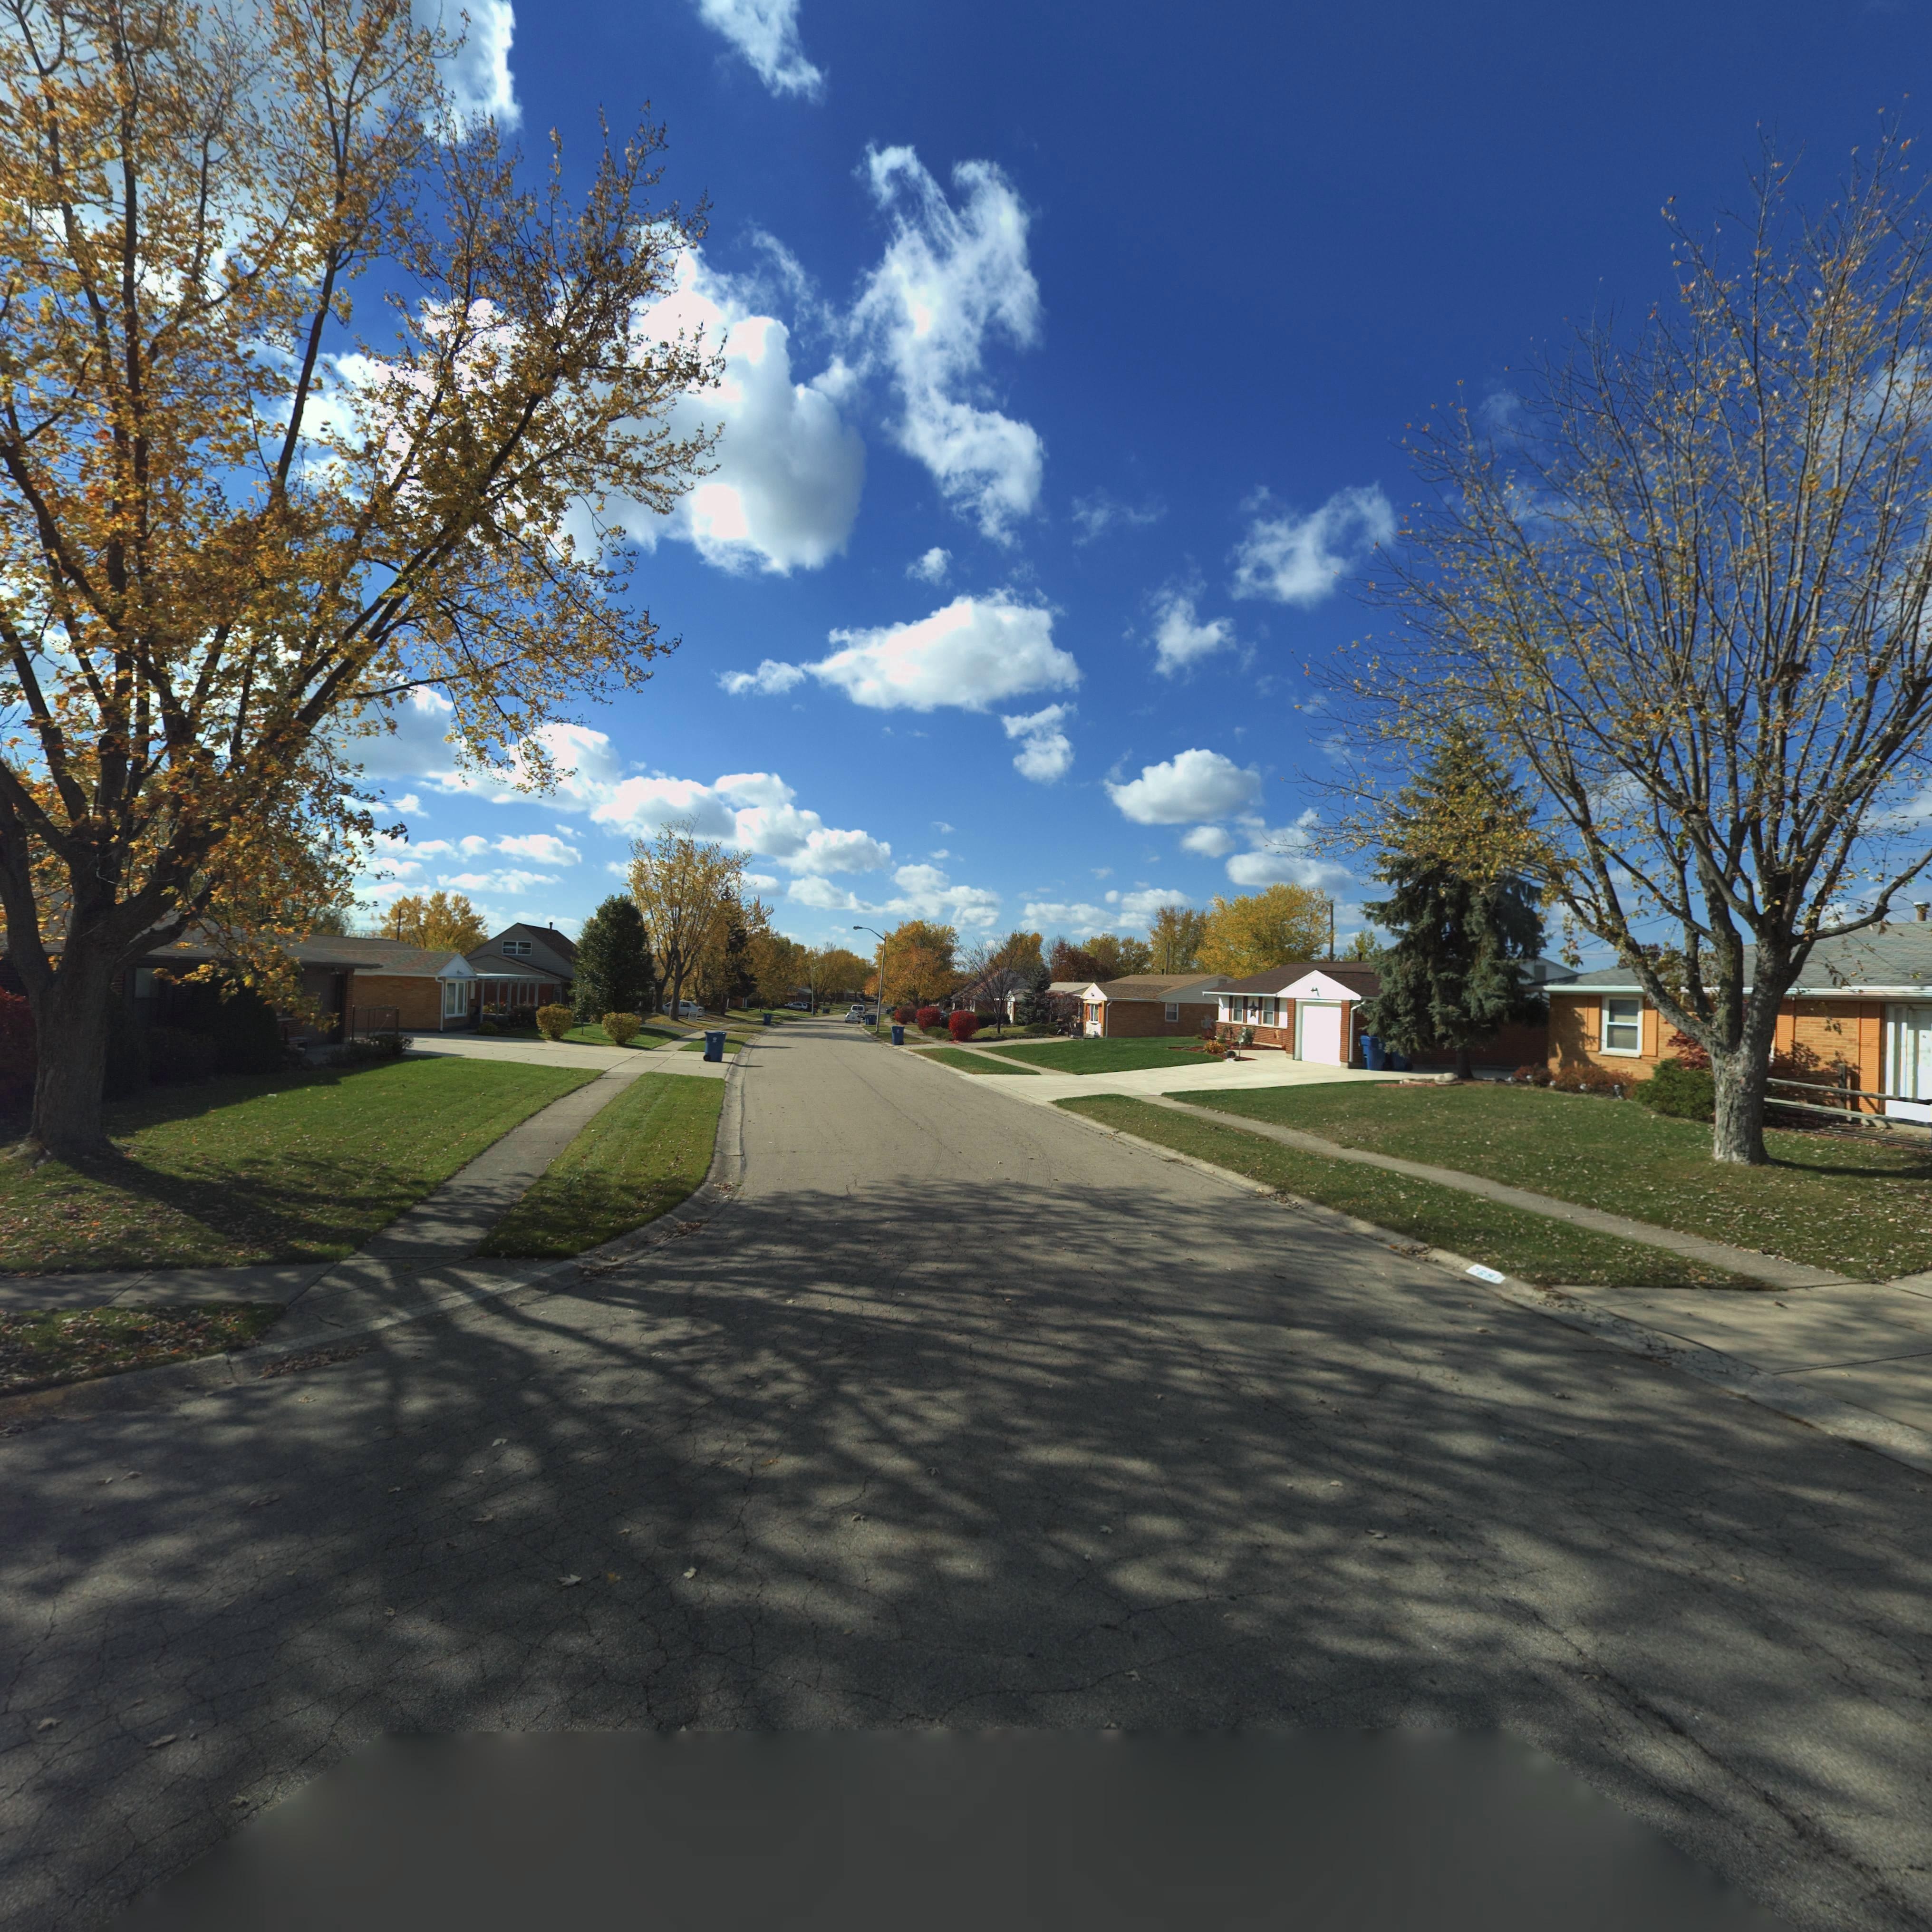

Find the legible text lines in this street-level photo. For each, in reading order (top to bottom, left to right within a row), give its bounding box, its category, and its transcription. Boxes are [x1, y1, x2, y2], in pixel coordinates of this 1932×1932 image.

[1468, 1266, 1502, 1283] StreetNumber: 7691